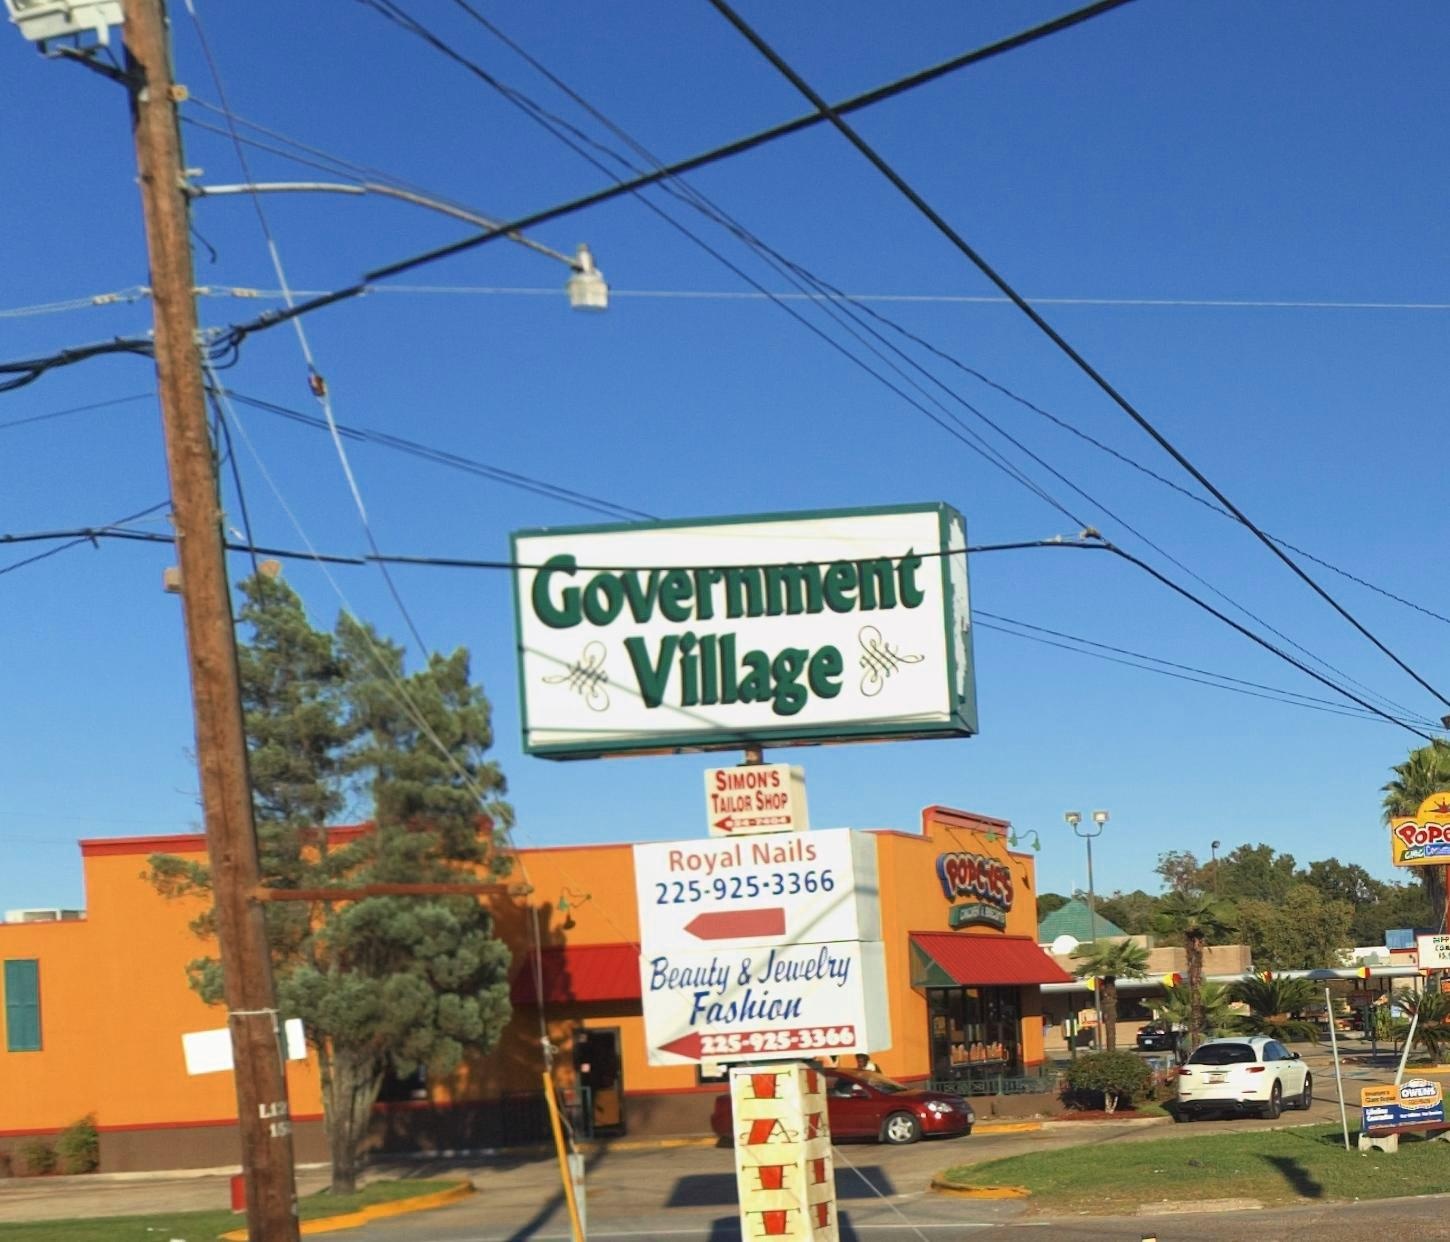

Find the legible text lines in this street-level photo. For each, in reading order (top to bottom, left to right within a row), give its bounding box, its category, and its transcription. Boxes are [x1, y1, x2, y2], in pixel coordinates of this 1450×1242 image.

[531, 545, 927, 630] BusinessName: Government Village
[620, 630, 846, 717] BusinessName: Village
[714, 769, 782, 792] BusinessName: SIMON'S
[709, 789, 789, 815] BusinessName: TAILOR SHOP
[1395, 823, 1444, 845] BusinessName: Pop
[668, 835, 817, 876] BusinessName: Royal Nails
[653, 868, 835, 907] None: 225-925-3366
[943, 856, 1015, 904] BusinessName: Popeyes
[648, 945, 853, 996] BusinessName: Beauty & Jewelry
[687, 987, 803, 1028] BusinessName: Fashion
[699, 1026, 855, 1055] None: 225-925-3366
[257, 1099, 289, 1121] None: L12
[267, 1121, 289, 1139] None: 15
[732, 1069, 802, 1239] None: TATT
[797, 1066, 834, 1233] None: TATT
[1401, 1086, 1437, 1099] None: OWEN's